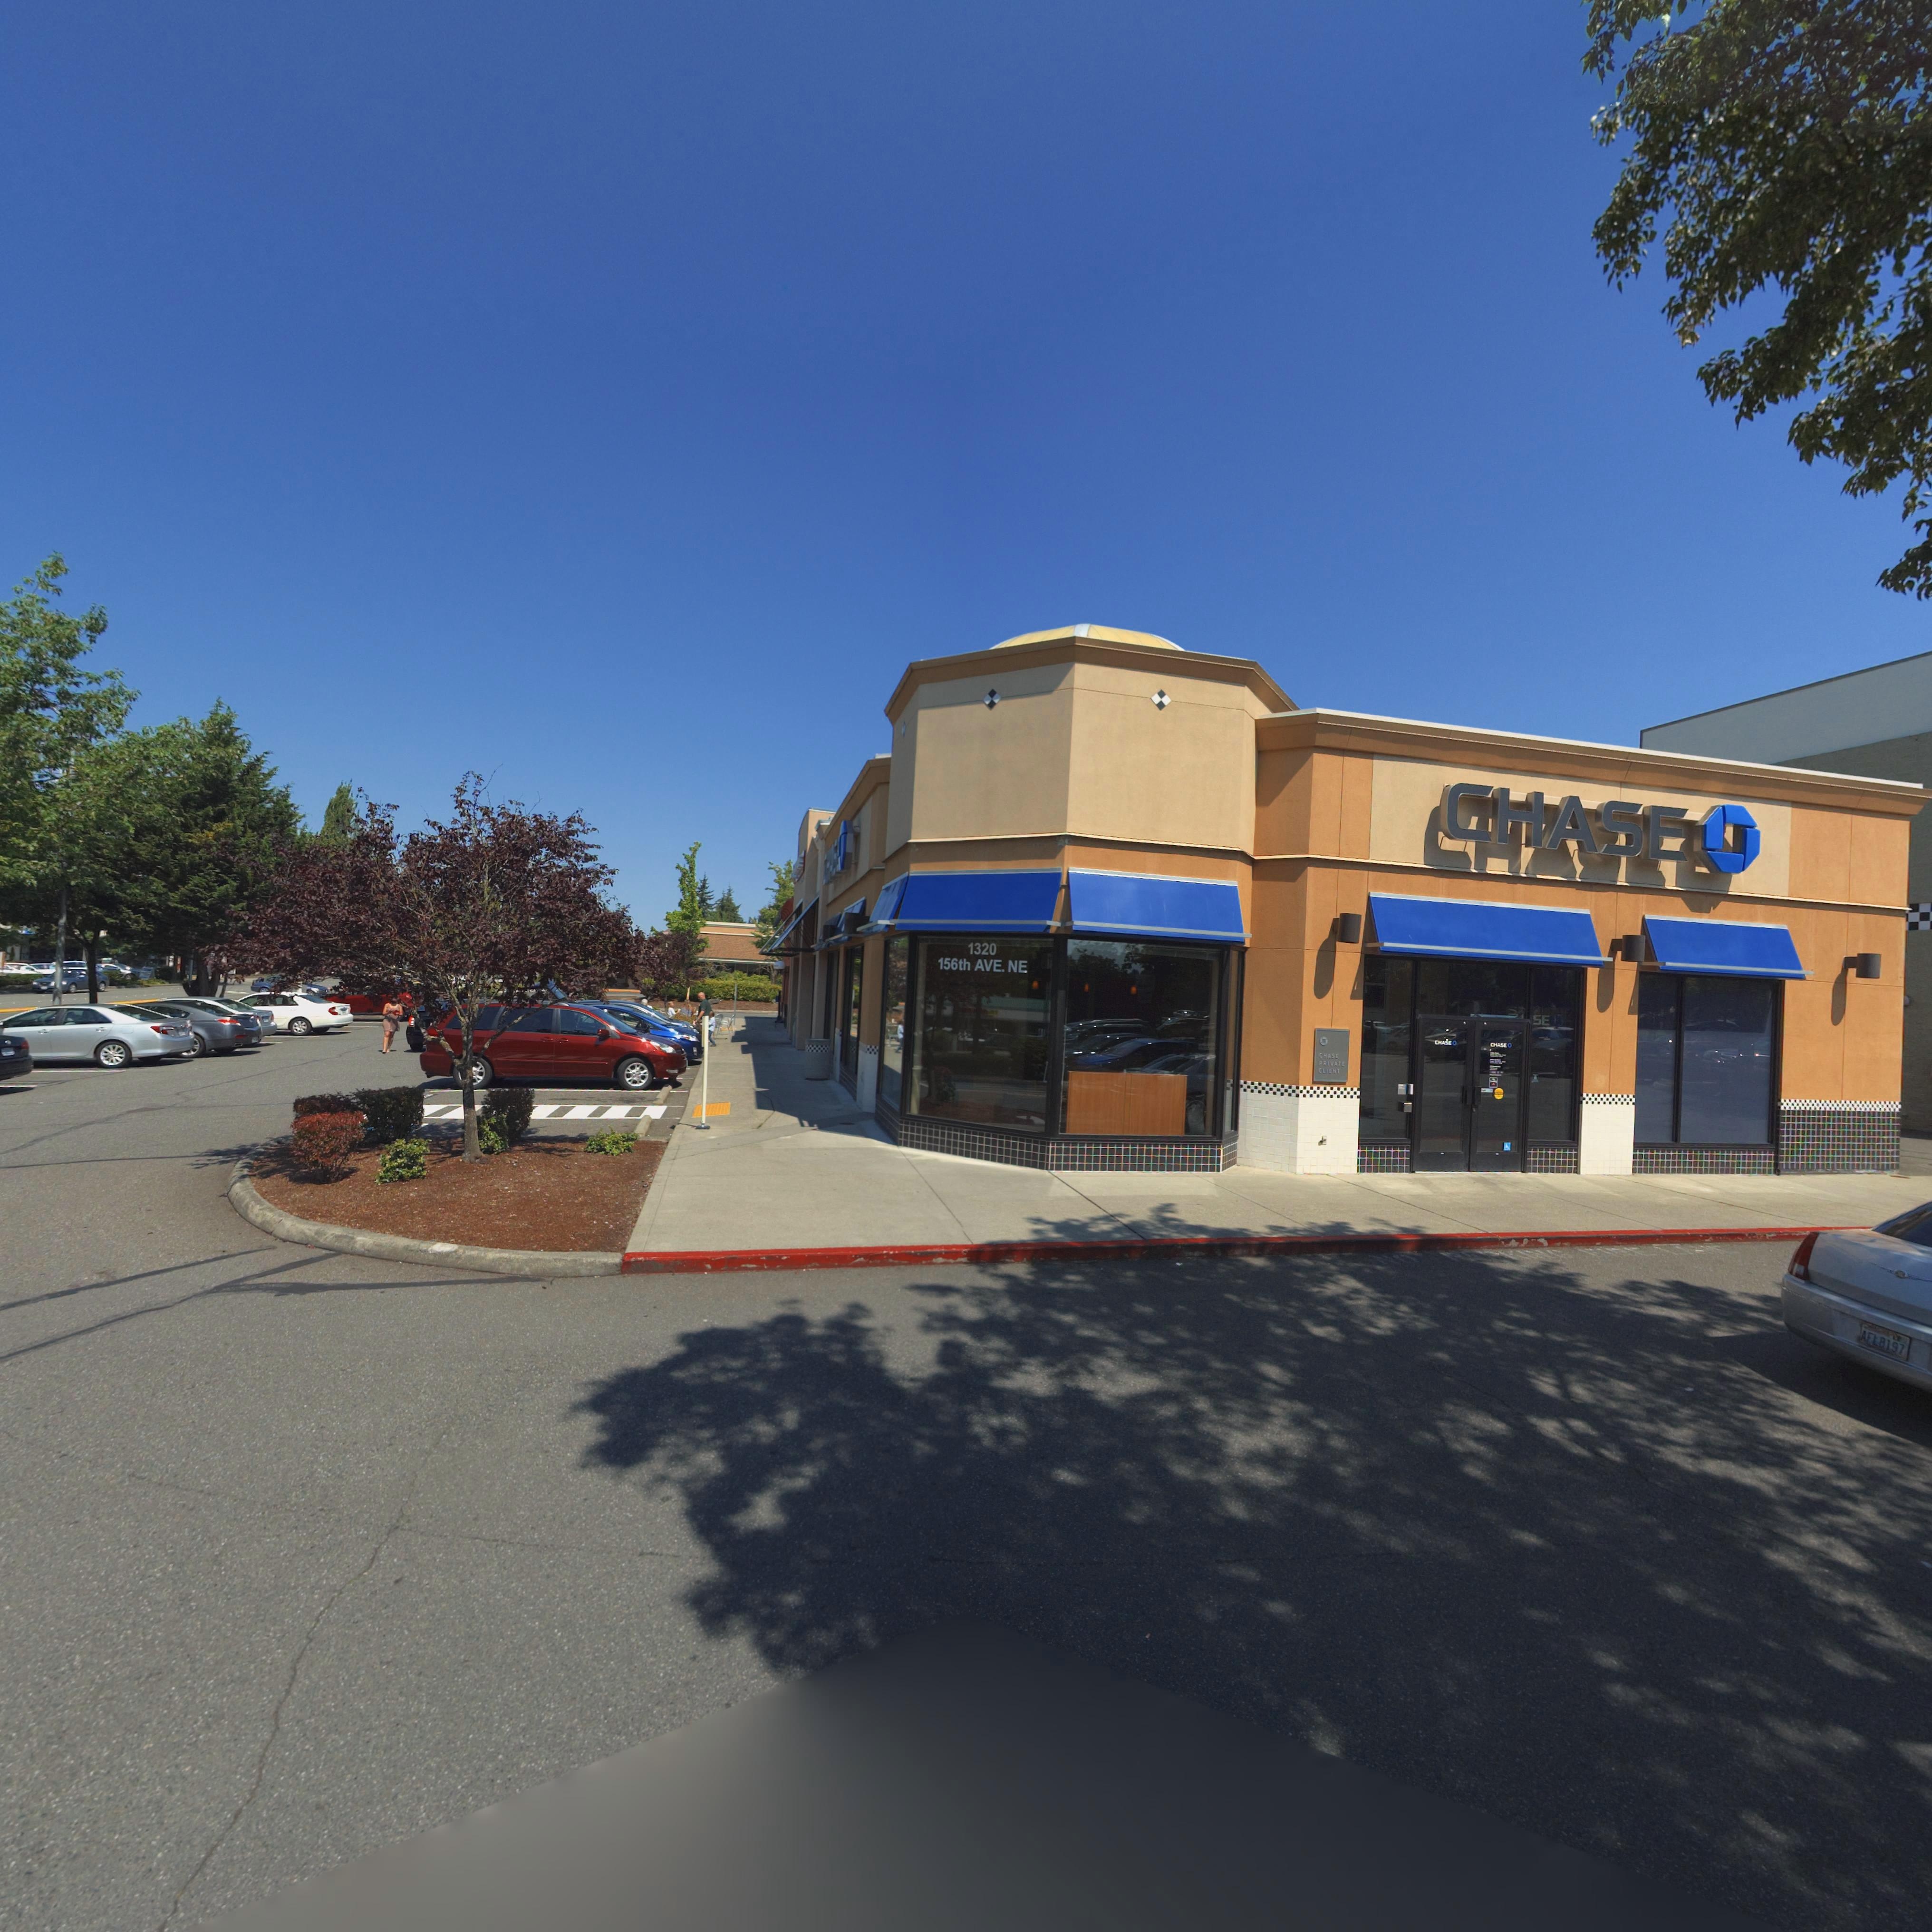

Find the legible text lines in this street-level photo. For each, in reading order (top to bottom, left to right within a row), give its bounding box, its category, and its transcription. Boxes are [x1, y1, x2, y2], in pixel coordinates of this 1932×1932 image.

[1439, 782, 1689, 863] BusinessName: CHASE
[968, 942, 996, 955] StreetNumber: 1320
[938, 957, 1027, 973] StreetName: 156th AVE. NE
[1533, 1014, 1549, 1025] BusinessName: SE
[1434, 1040, 1451, 1045] None: CHASE
[1490, 1042, 1507, 1047] BusinessName: CHASE
[1319, 1053, 1338, 1058] None: CHASE
[1319, 1061, 1344, 1066] BusinessName: PRIVATE
[1318, 1068, 1339, 1073] BusinessName: *LIE*T